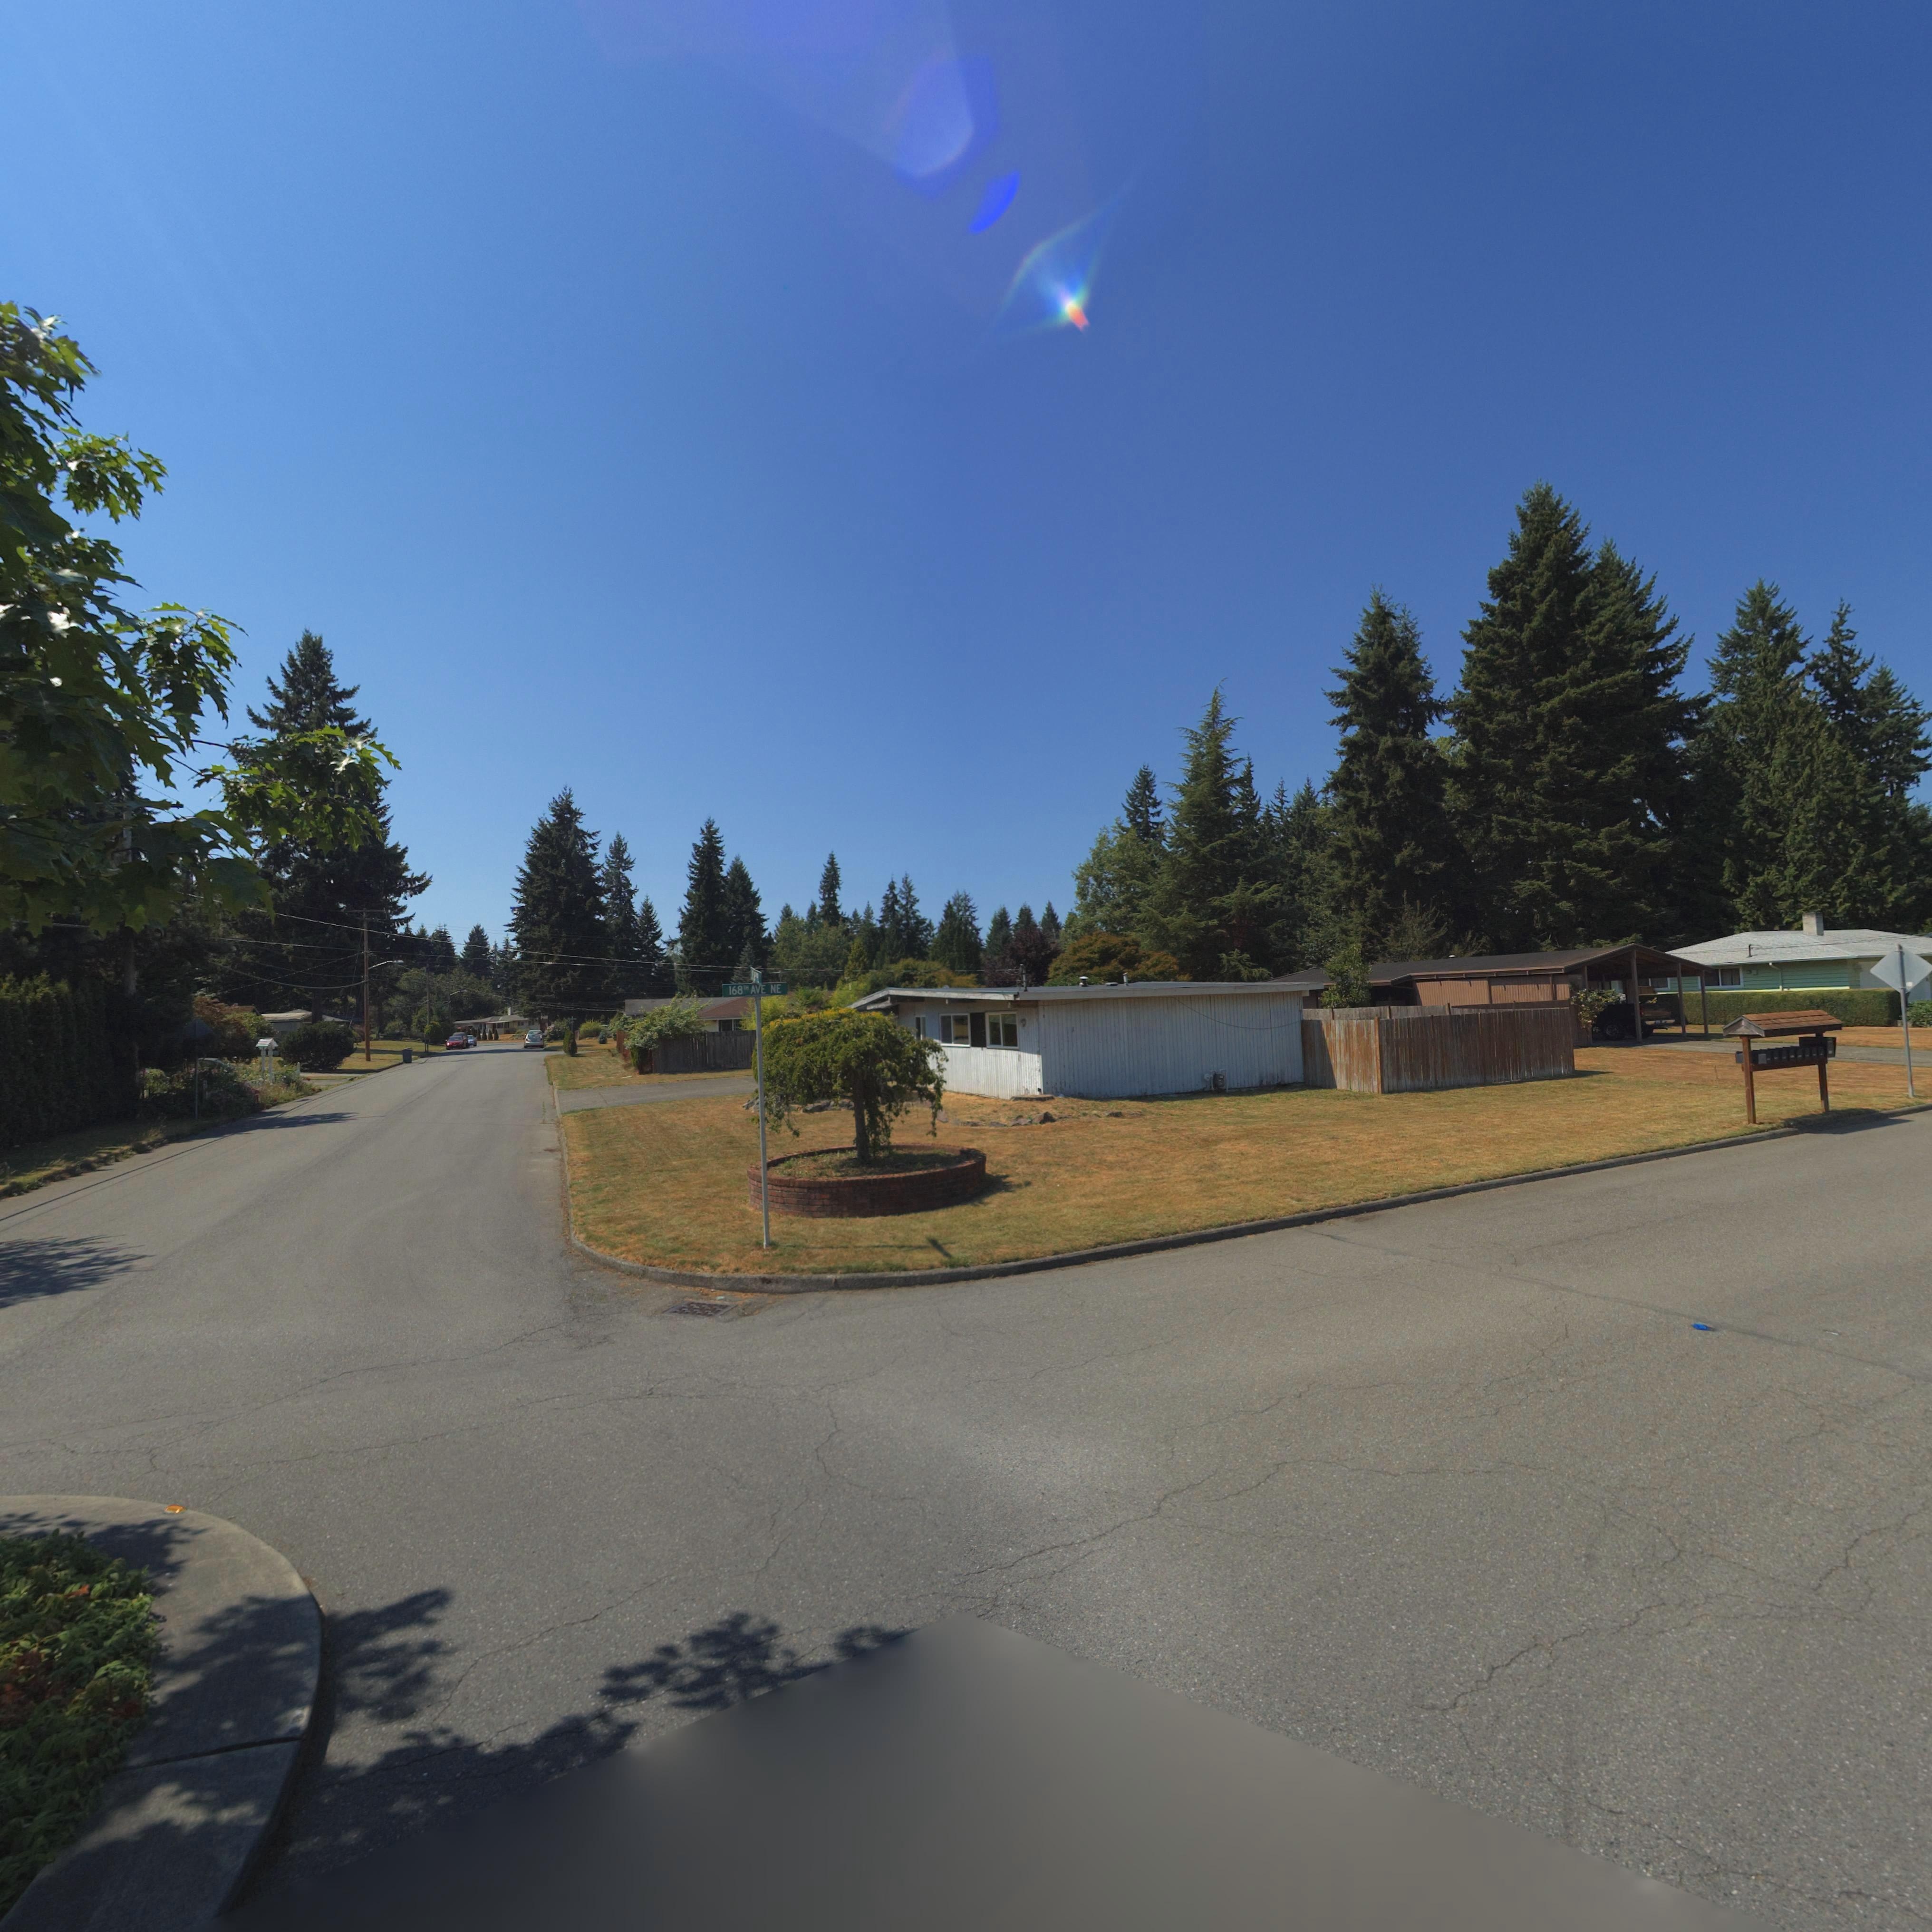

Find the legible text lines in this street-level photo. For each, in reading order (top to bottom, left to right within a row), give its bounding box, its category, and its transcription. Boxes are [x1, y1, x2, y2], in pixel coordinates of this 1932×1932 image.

[728, 983, 781, 995] StreetName: 168 AVE NE